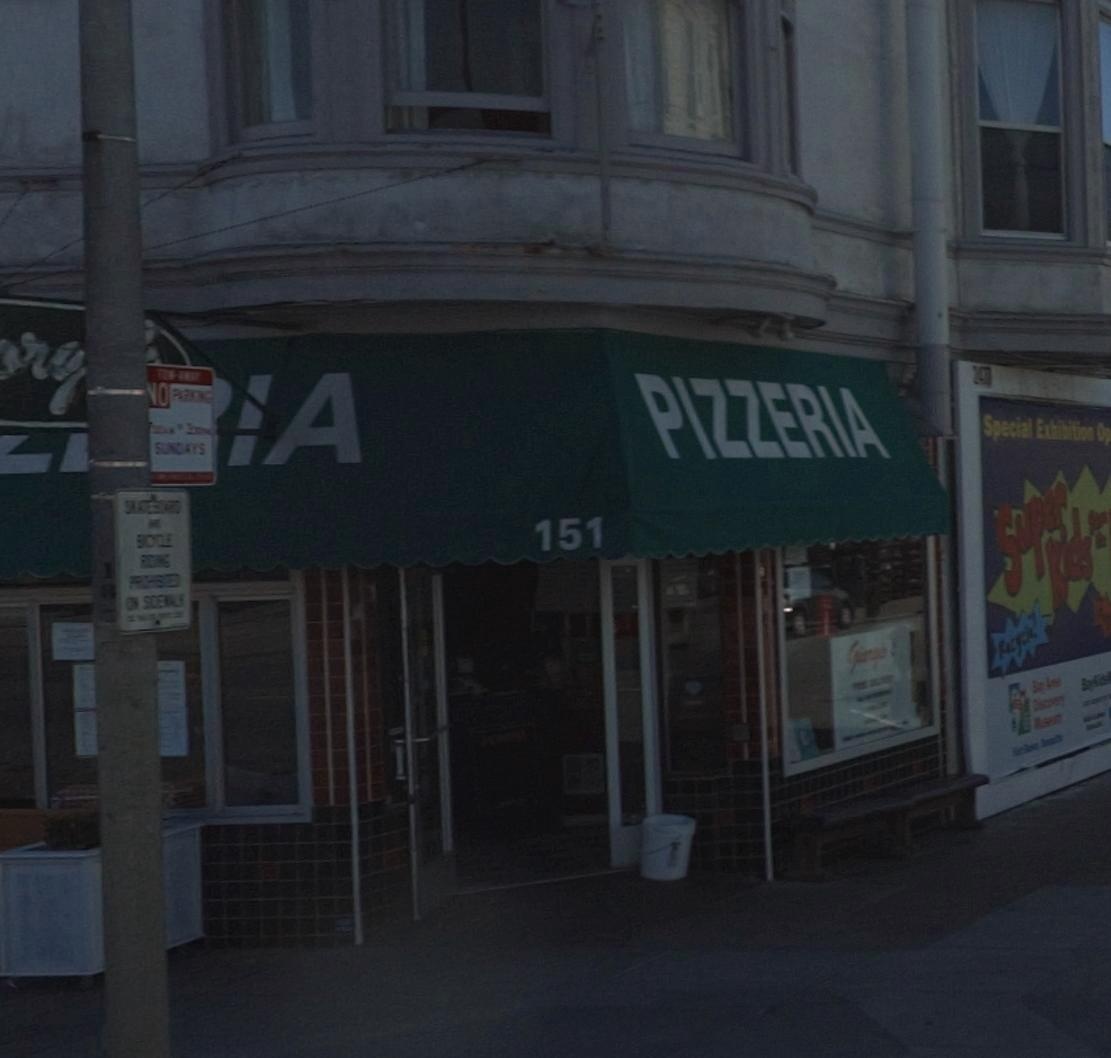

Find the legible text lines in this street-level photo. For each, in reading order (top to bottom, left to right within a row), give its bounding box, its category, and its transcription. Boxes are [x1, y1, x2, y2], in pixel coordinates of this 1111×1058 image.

[156, 365, 202, 383] None: TOW-AWAY
[970, 364, 995, 390] None: 24**
[144, 380, 213, 409] None: NO PARKING
[224, 369, 365, 469] None: IA
[629, 370, 896, 462] BusinessName: PIZZERIA
[980, 412, 1106, 446] None: Special Exhibition O
[153, 439, 208, 458] None: SUNDAYS
[120, 496, 183, 517] None: SKATEBOARD
[134, 531, 176, 550] None: BICYCLE
[535, 516, 604, 553] StreetNumber: 151
[988, 473, 1070, 603] None: Super
[138, 552, 172, 570] None: RIDING
[1044, 502, 1095, 614] None: Kids
[126, 571, 184, 592] None: PROHIBITED
[123, 590, 187, 614] None: ON SIDEWALKS
[997, 621, 1041, 662] None: Recycle